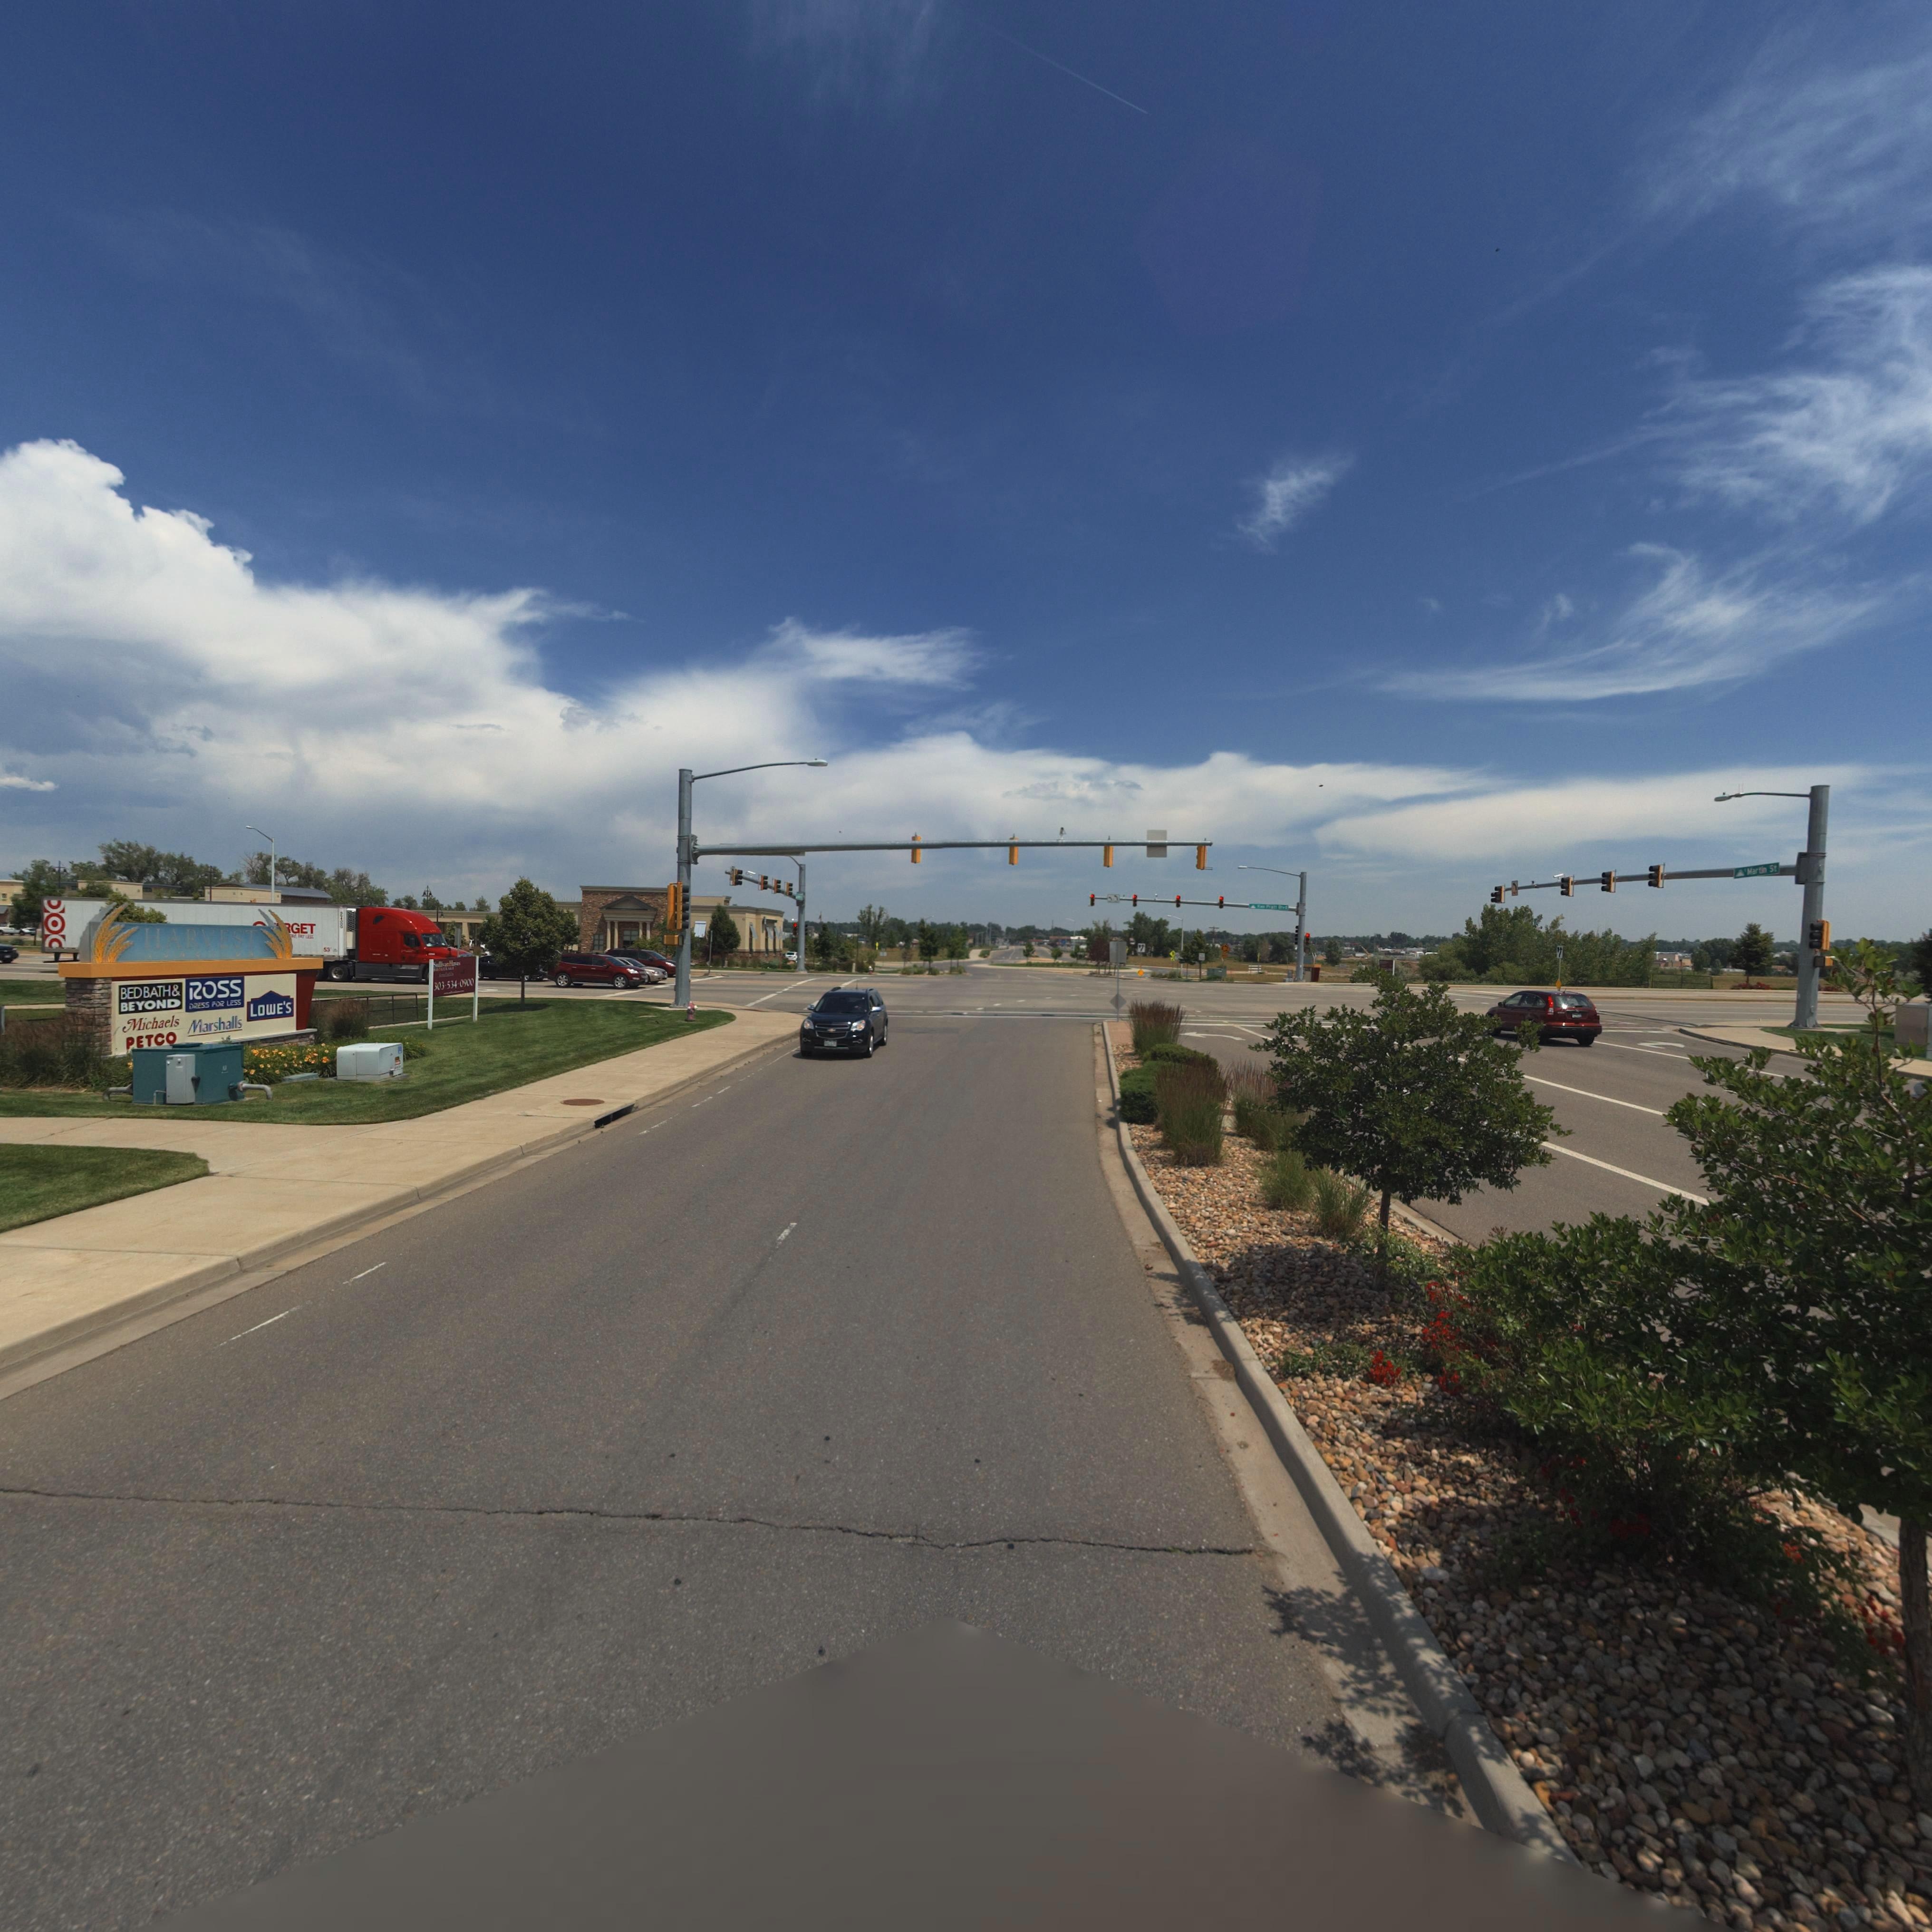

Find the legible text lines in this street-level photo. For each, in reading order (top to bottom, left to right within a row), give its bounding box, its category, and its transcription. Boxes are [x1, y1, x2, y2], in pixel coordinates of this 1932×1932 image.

[1747, 864, 1777, 875] StreetName: Martin St
[1256, 904, 1287, 909] StreetName: K*n P*att **vd
[120, 984, 181, 1000] BusinessName: BED BATH *
[189, 978, 242, 1000] BusinessName: ROSS
[120, 998, 181, 1012] BusinessName: BEYOND
[250, 1000, 292, 1017] BusinessName: LOWE'S
[122, 1014, 181, 1033] BusinessName: Michaels
[186, 1015, 243, 1034] BusinessName: Marshalls
[125, 1031, 177, 1050] BusinessName: PETCO